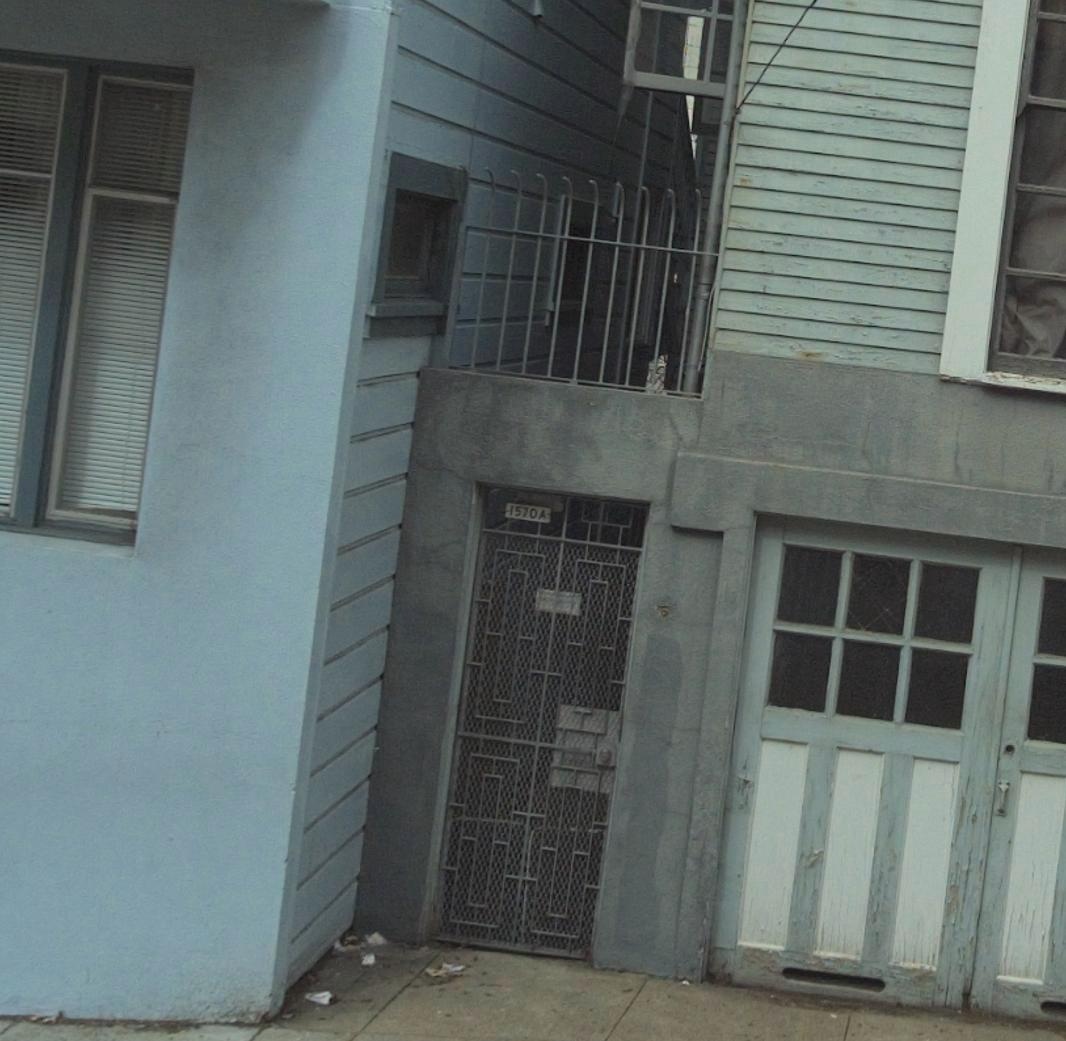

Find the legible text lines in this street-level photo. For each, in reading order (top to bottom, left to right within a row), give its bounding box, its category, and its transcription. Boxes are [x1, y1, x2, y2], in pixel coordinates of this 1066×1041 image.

[507, 501, 552, 523] StreetNumber: 1570A